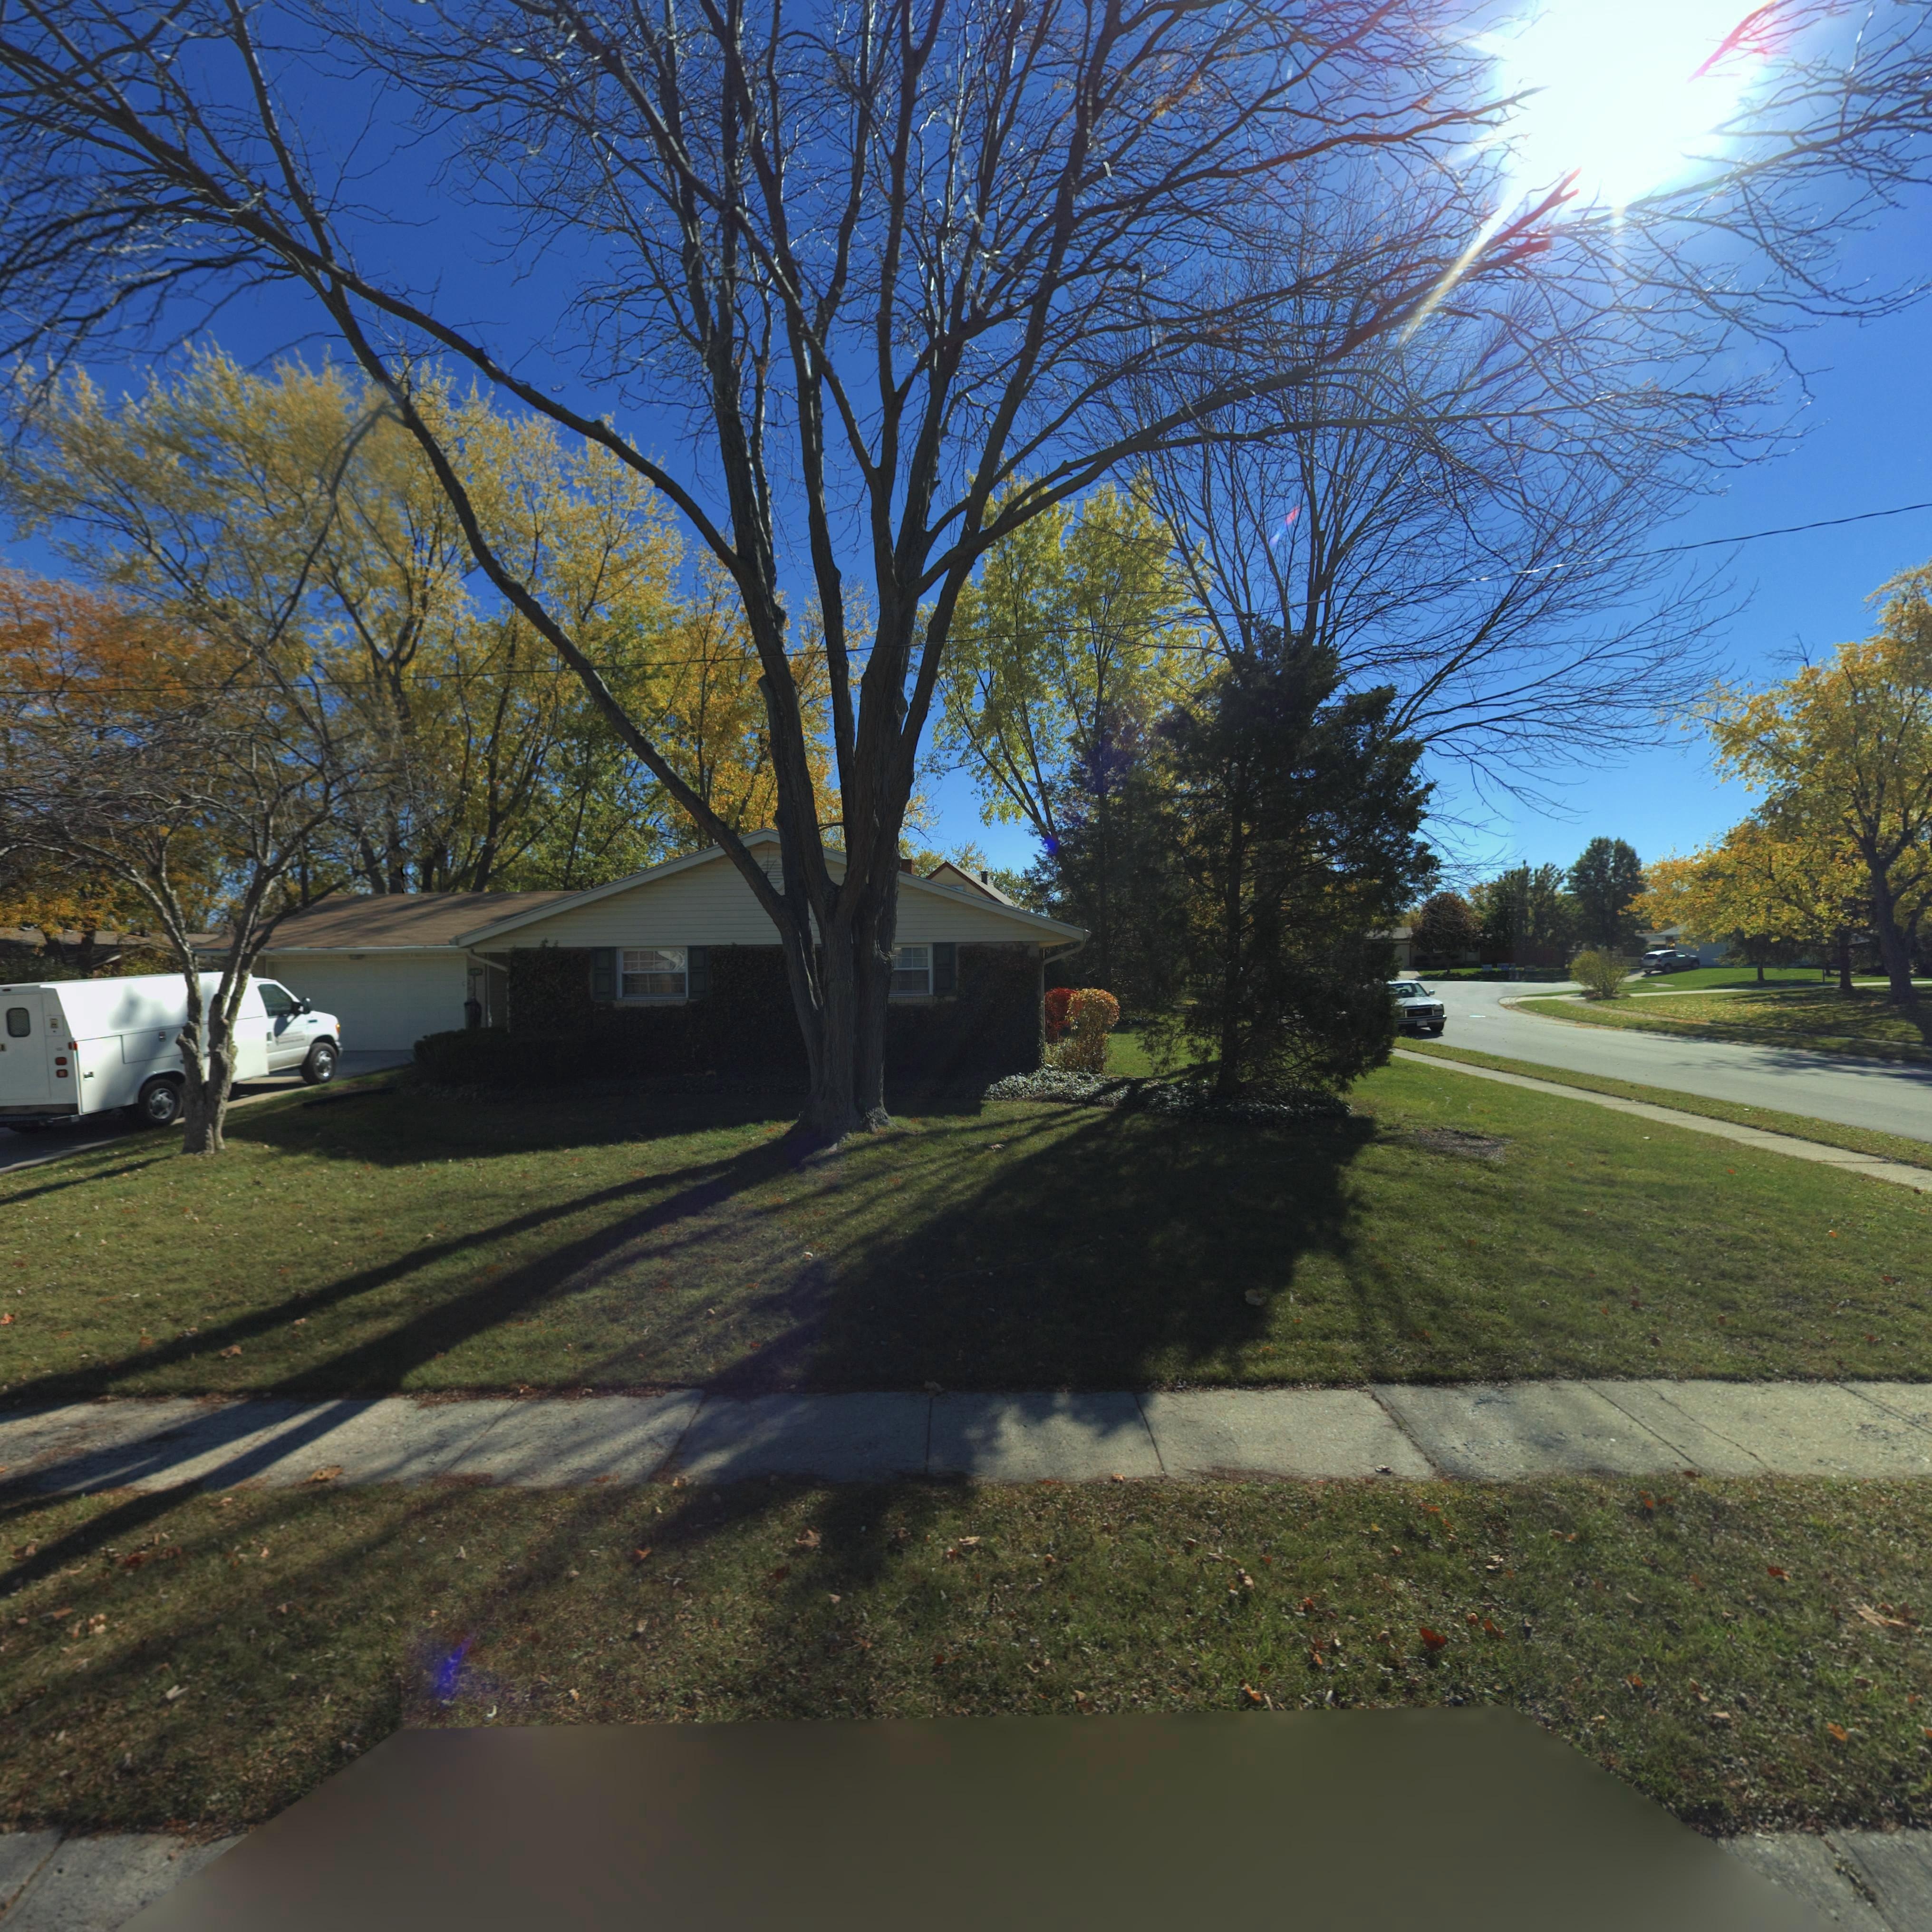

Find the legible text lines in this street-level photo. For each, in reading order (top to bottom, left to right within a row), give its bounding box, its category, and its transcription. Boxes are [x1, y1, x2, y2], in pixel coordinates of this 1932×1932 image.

[467, 968, 483, 976] StreetNumber: 1002